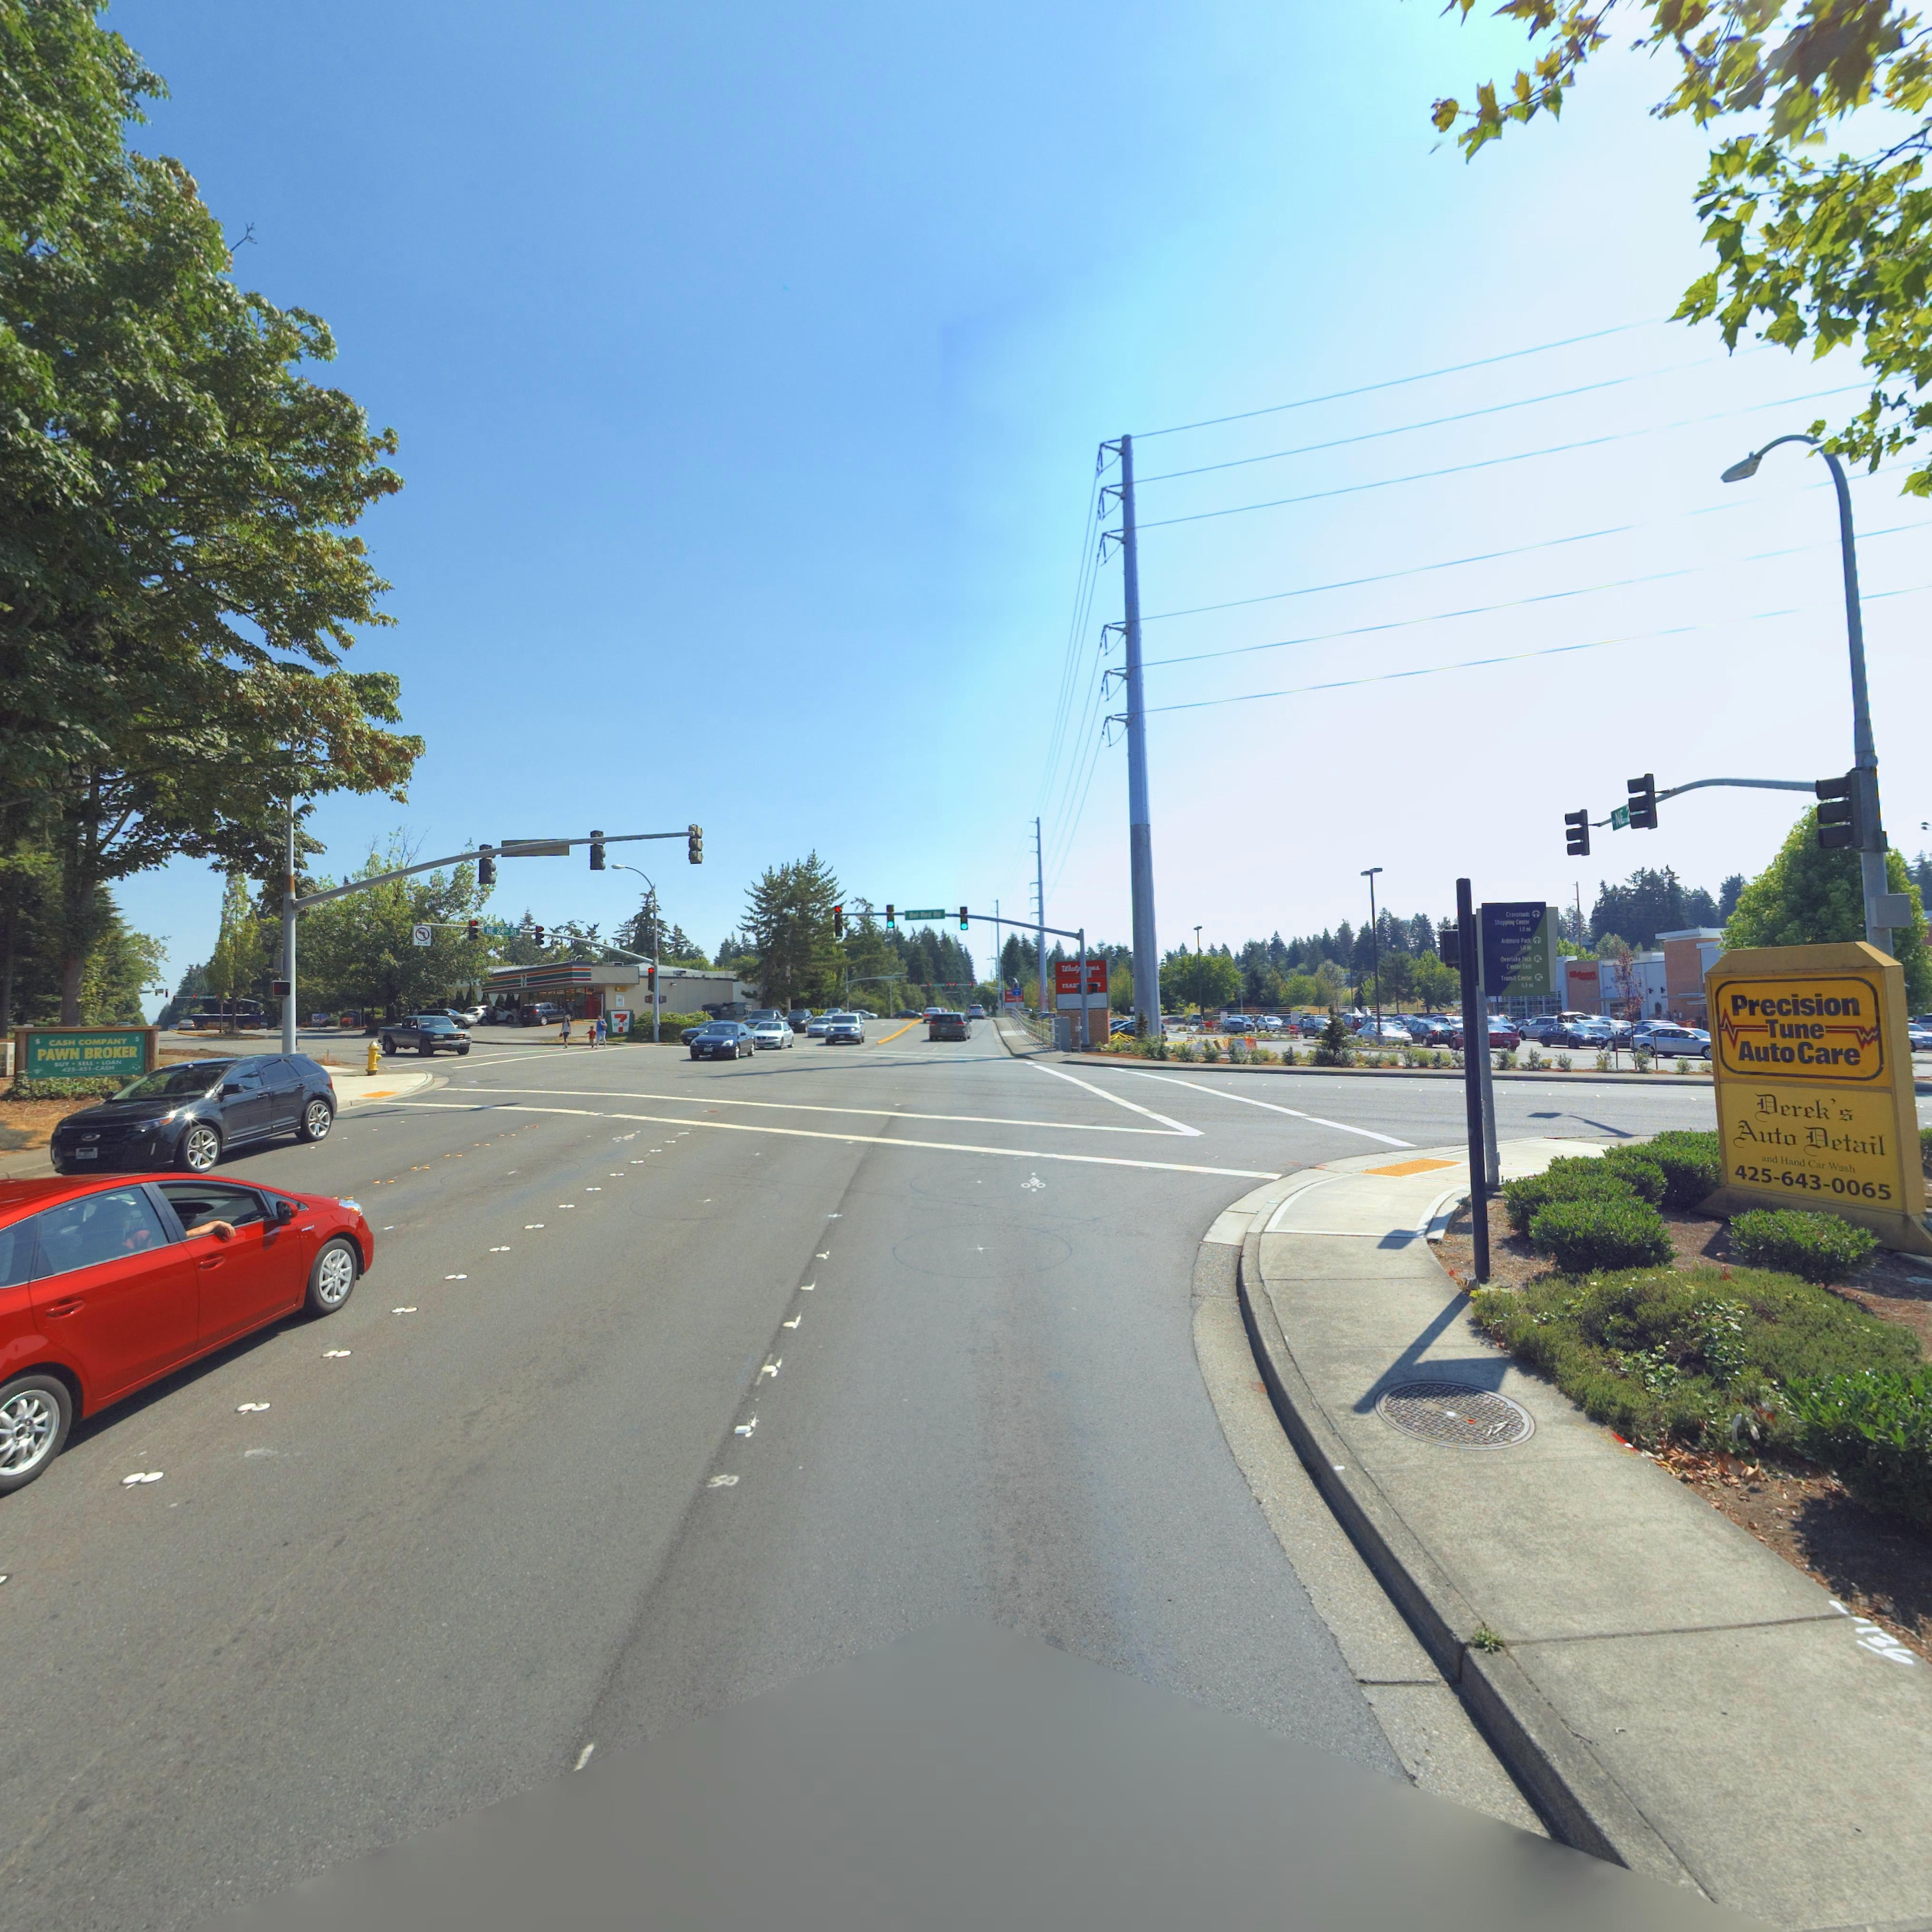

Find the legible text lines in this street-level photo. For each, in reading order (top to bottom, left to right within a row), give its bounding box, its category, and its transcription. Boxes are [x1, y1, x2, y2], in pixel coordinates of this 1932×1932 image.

[1729, 992, 1862, 1017] BusinessName: Precision
[1764, 1018, 1826, 1041] BusinessName: Tune
[38, 1046, 137, 1061] BusinessName: PAWN BROKER
[48, 1038, 127, 1046] BusinessName: CASH COMPANY
[1738, 1041, 1860, 1065] BusinessName: AutoCare
[1754, 1090, 1858, 1124] BusinessName: Derek's
[1730, 1117, 1894, 1157] BusinessName: Auto Detail